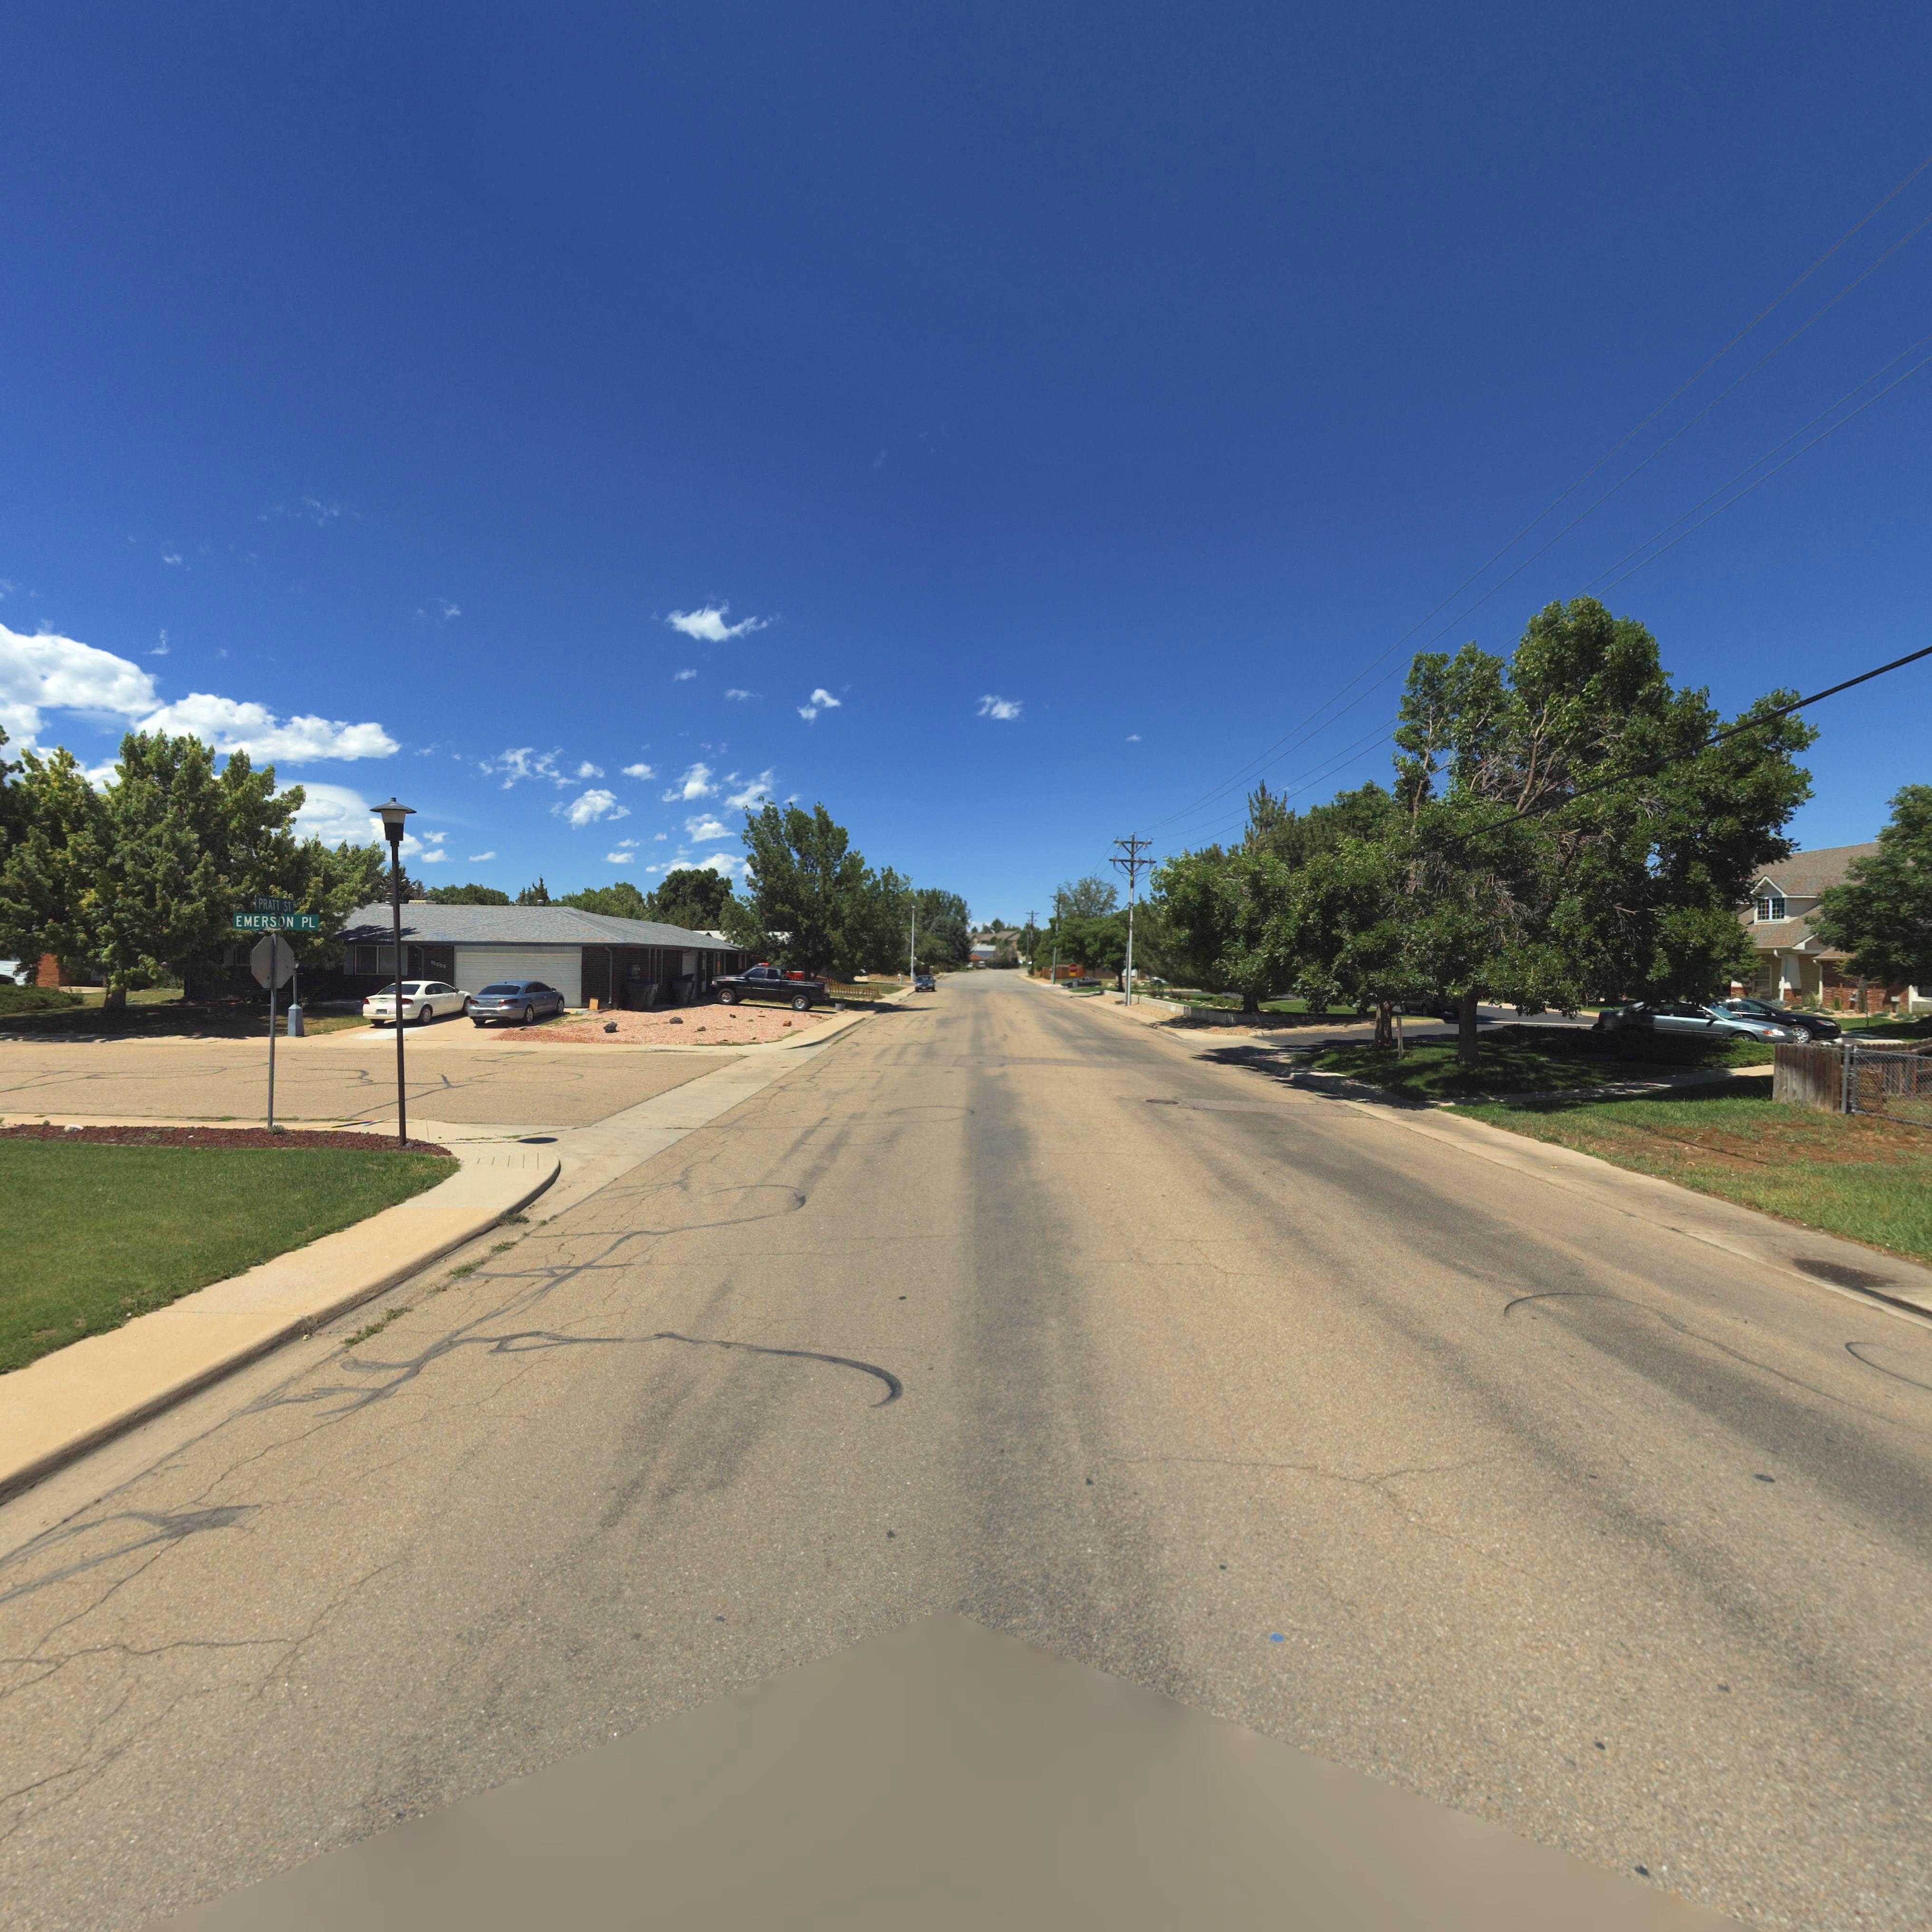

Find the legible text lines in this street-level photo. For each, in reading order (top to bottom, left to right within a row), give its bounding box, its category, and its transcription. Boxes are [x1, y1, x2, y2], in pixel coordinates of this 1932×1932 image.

[258, 897, 291, 912] StreetName: PRATT ST
[236, 915, 315, 928] StreetName: EMERSON PL
[432, 961, 444, 968] StreetNumber: 1006